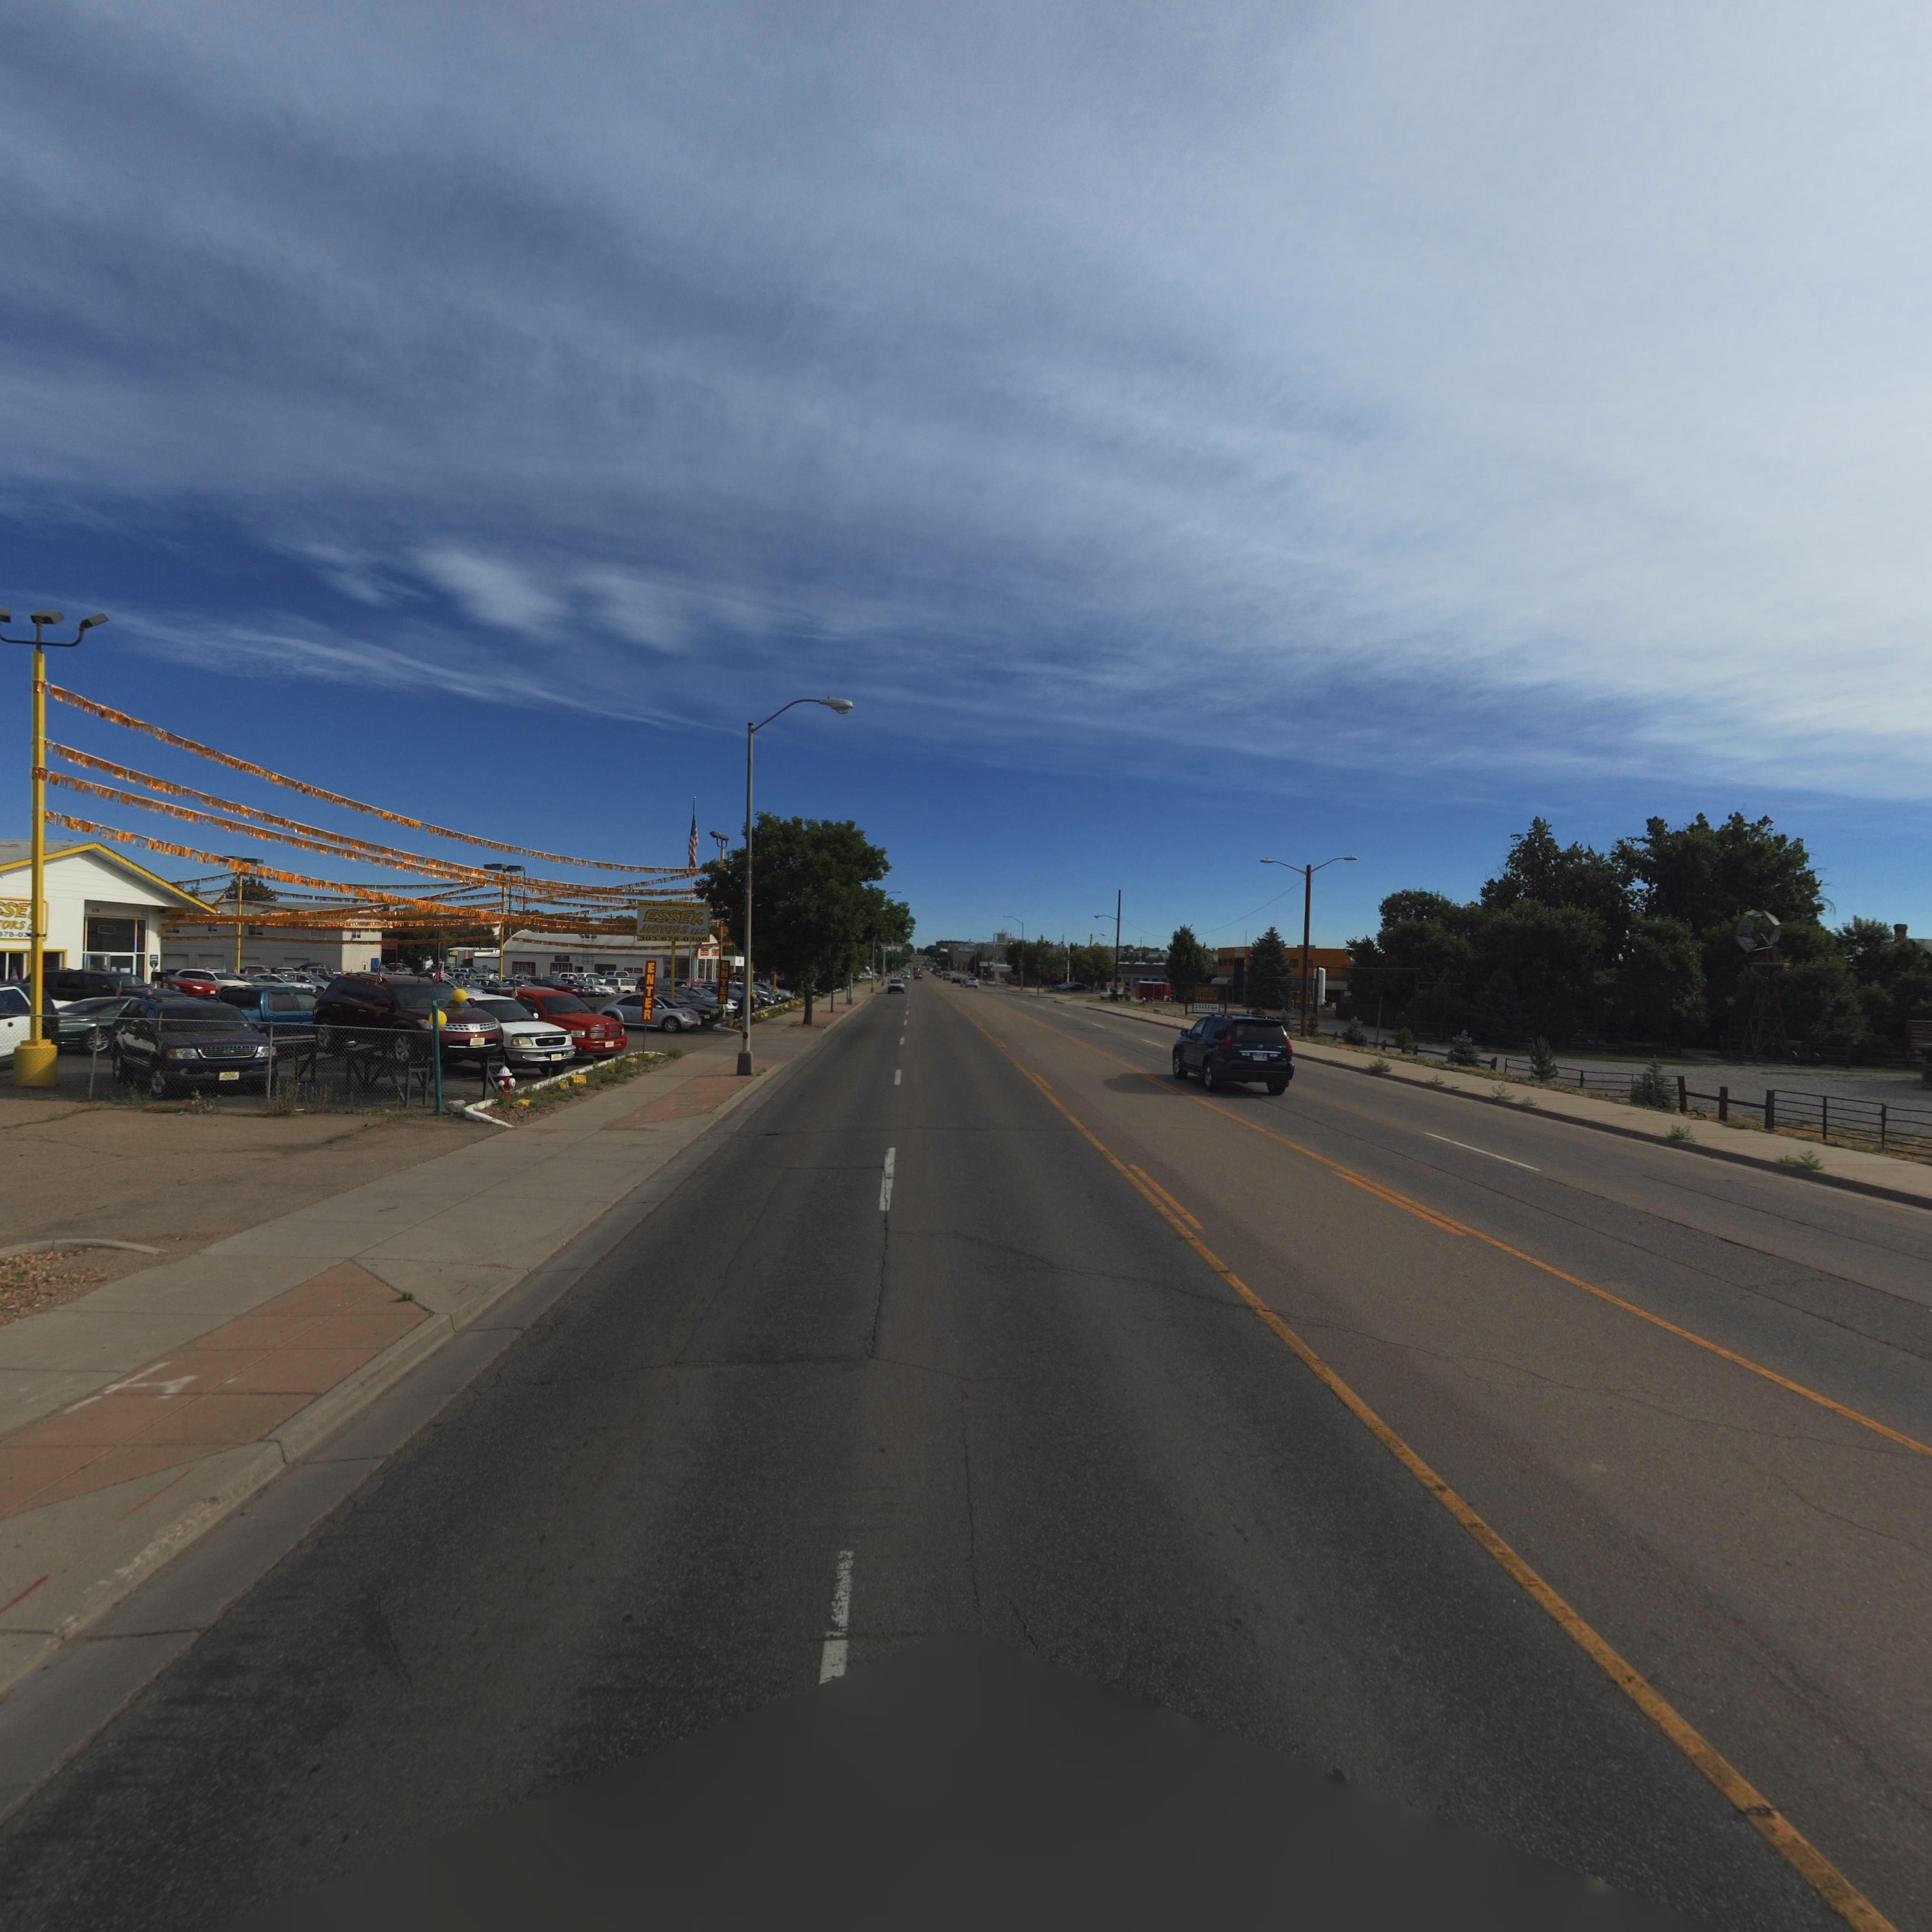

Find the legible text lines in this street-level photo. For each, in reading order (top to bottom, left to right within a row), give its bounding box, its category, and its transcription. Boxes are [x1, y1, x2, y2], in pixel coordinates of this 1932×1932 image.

[0, 901, 30, 918] BusinessName: SE
[643, 909, 704, 926] BusinessName: ESSEX
[1, 919, 32, 930] BusinessName: ORS L
[638, 924, 706, 935] BusinessName: MOTORS LLC
[1195, 1004, 1210, 1009] None: D*A**